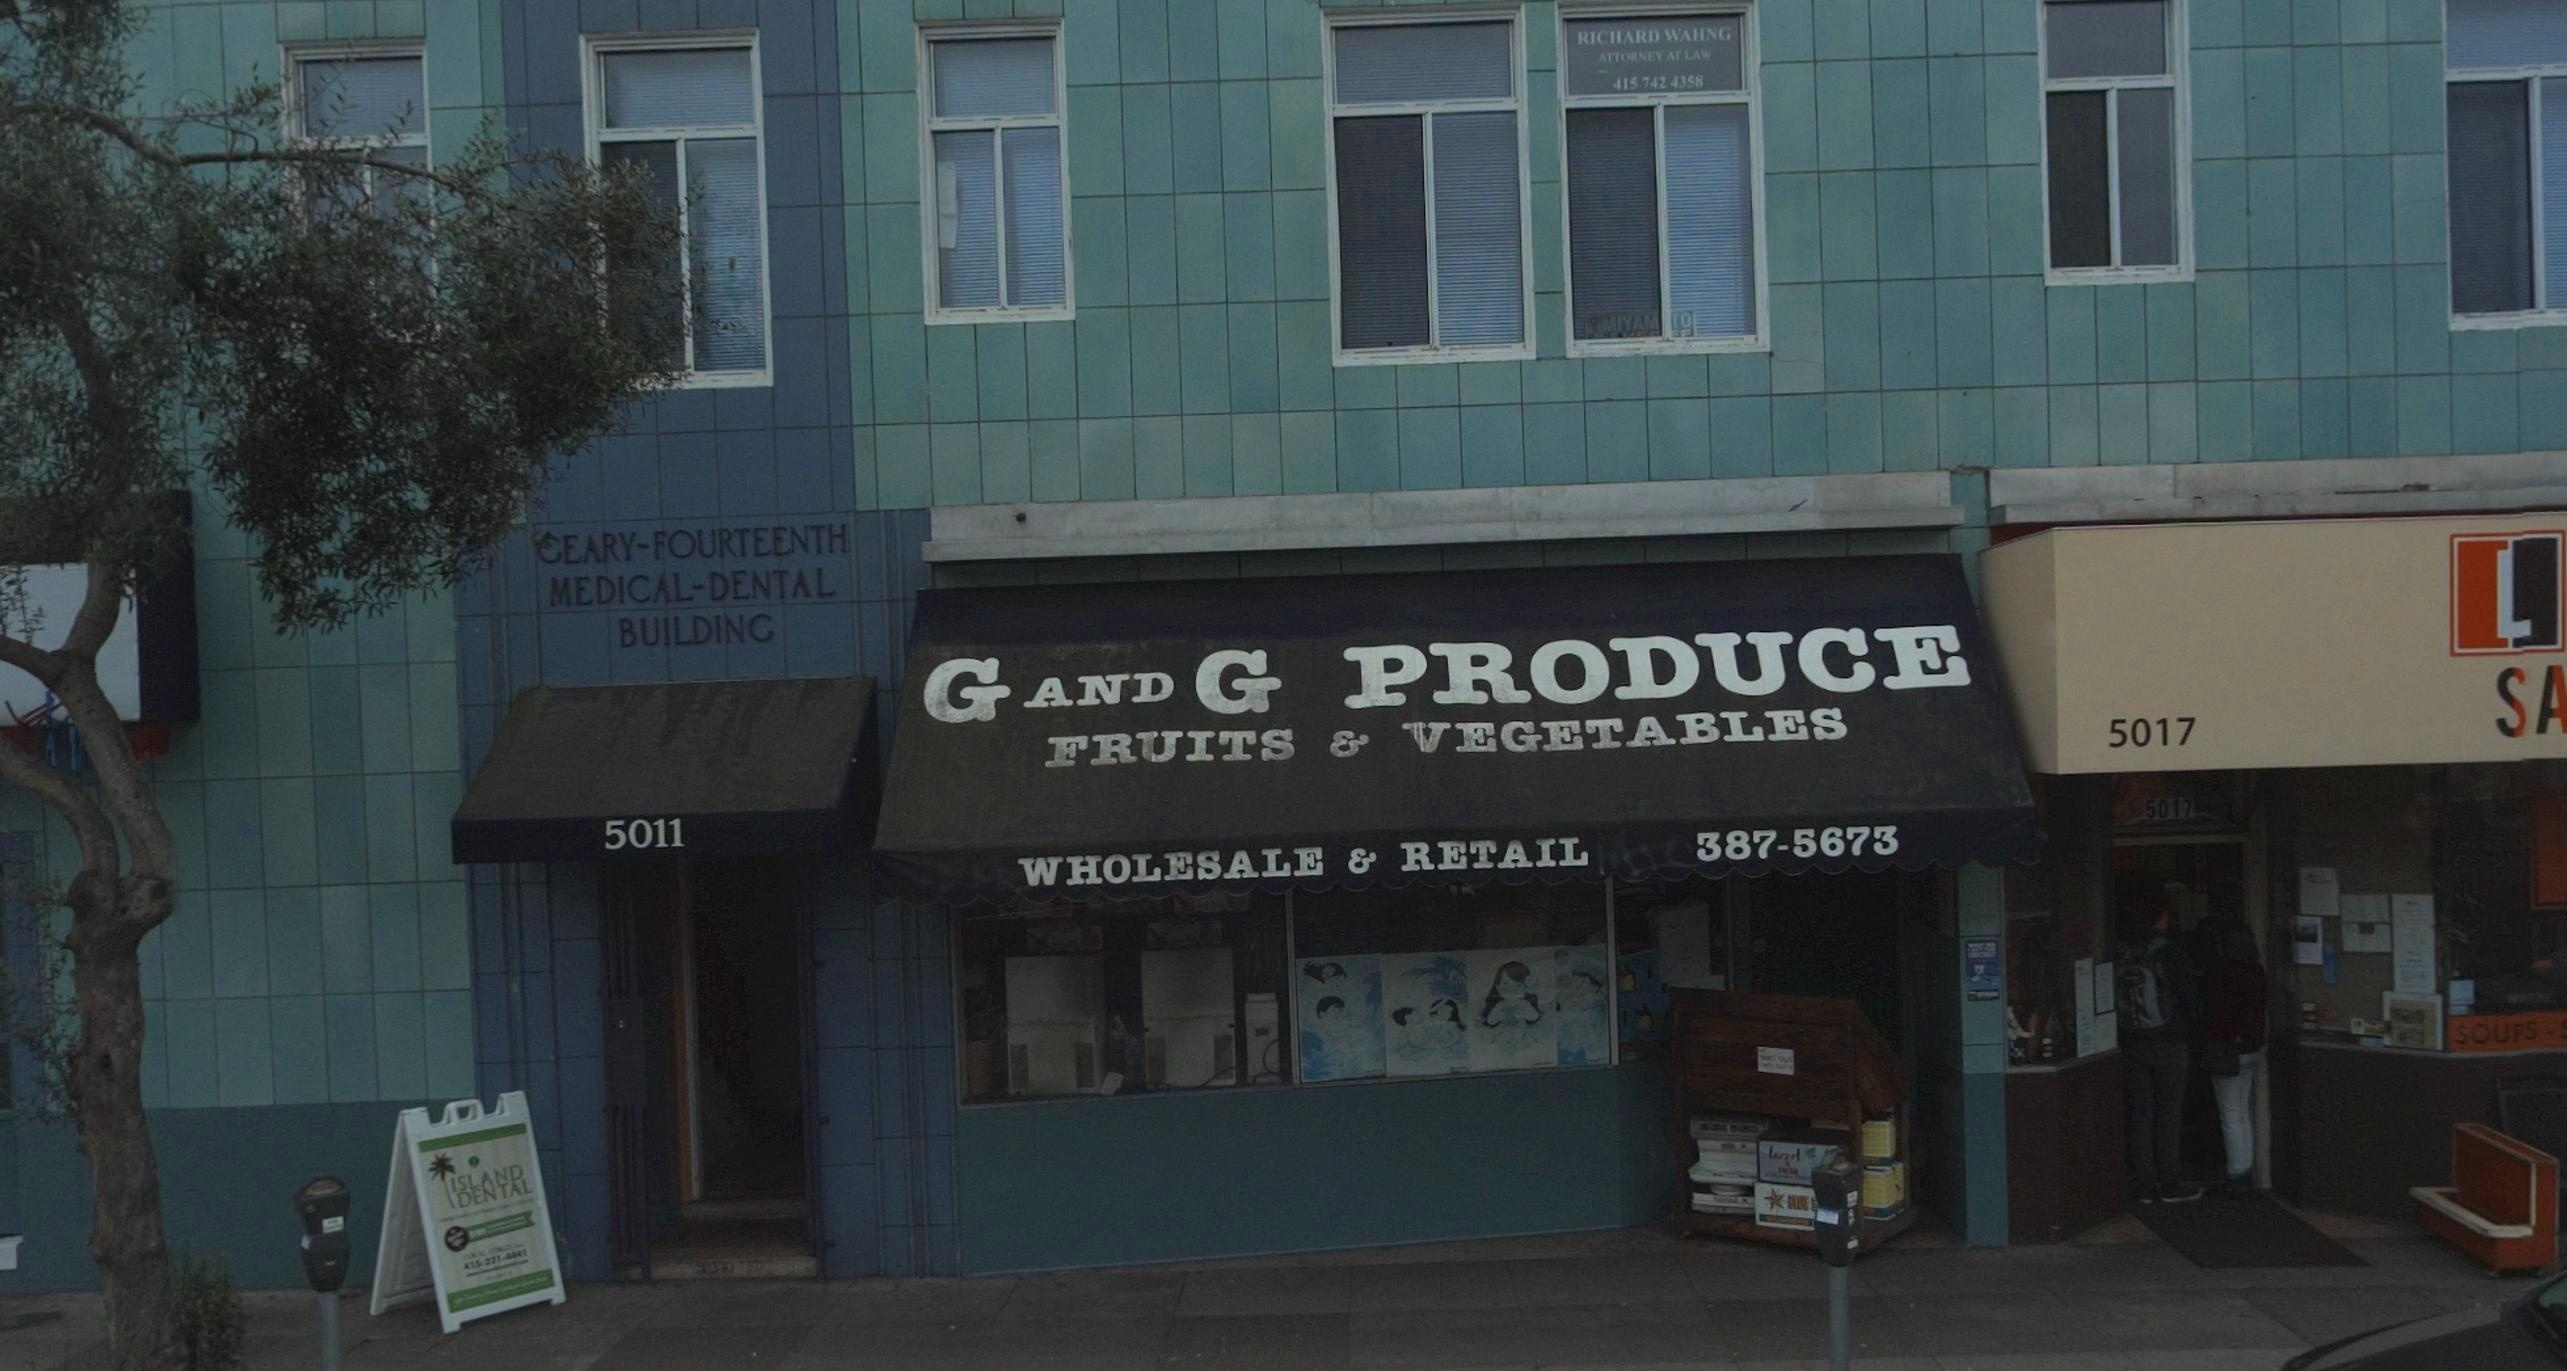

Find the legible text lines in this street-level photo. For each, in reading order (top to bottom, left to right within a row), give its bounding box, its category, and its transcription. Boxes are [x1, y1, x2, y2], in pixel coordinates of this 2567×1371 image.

[533, 520, 851, 568] None: Geary-Fourteenth
[546, 563, 841, 611] None: MEDICAL-DENTAL
[2493, 547, 2534, 642] None: L
[615, 609, 778, 651] None: BUILDING
[915, 616, 1981, 732] BusinessName: G AND G PRODUCE
[2493, 663, 2529, 742] None: S
[1036, 700, 1858, 773] None: FRUITS & VEGETABLES
[2106, 714, 2202, 751] StreetNumber: 5017
[2144, 796, 2195, 821] StreetNumber: 5017
[603, 814, 687, 853] StreetNumber: 5011
[1011, 820, 1905, 892] None: WHOLESALE & RETAIL 387-5673
[2453, 1018, 2540, 1047] None: SOUPS
[447, 1161, 526, 1195] BusinessName: ISLAND
[455, 1176, 536, 1210] BusinessName: DENTAL